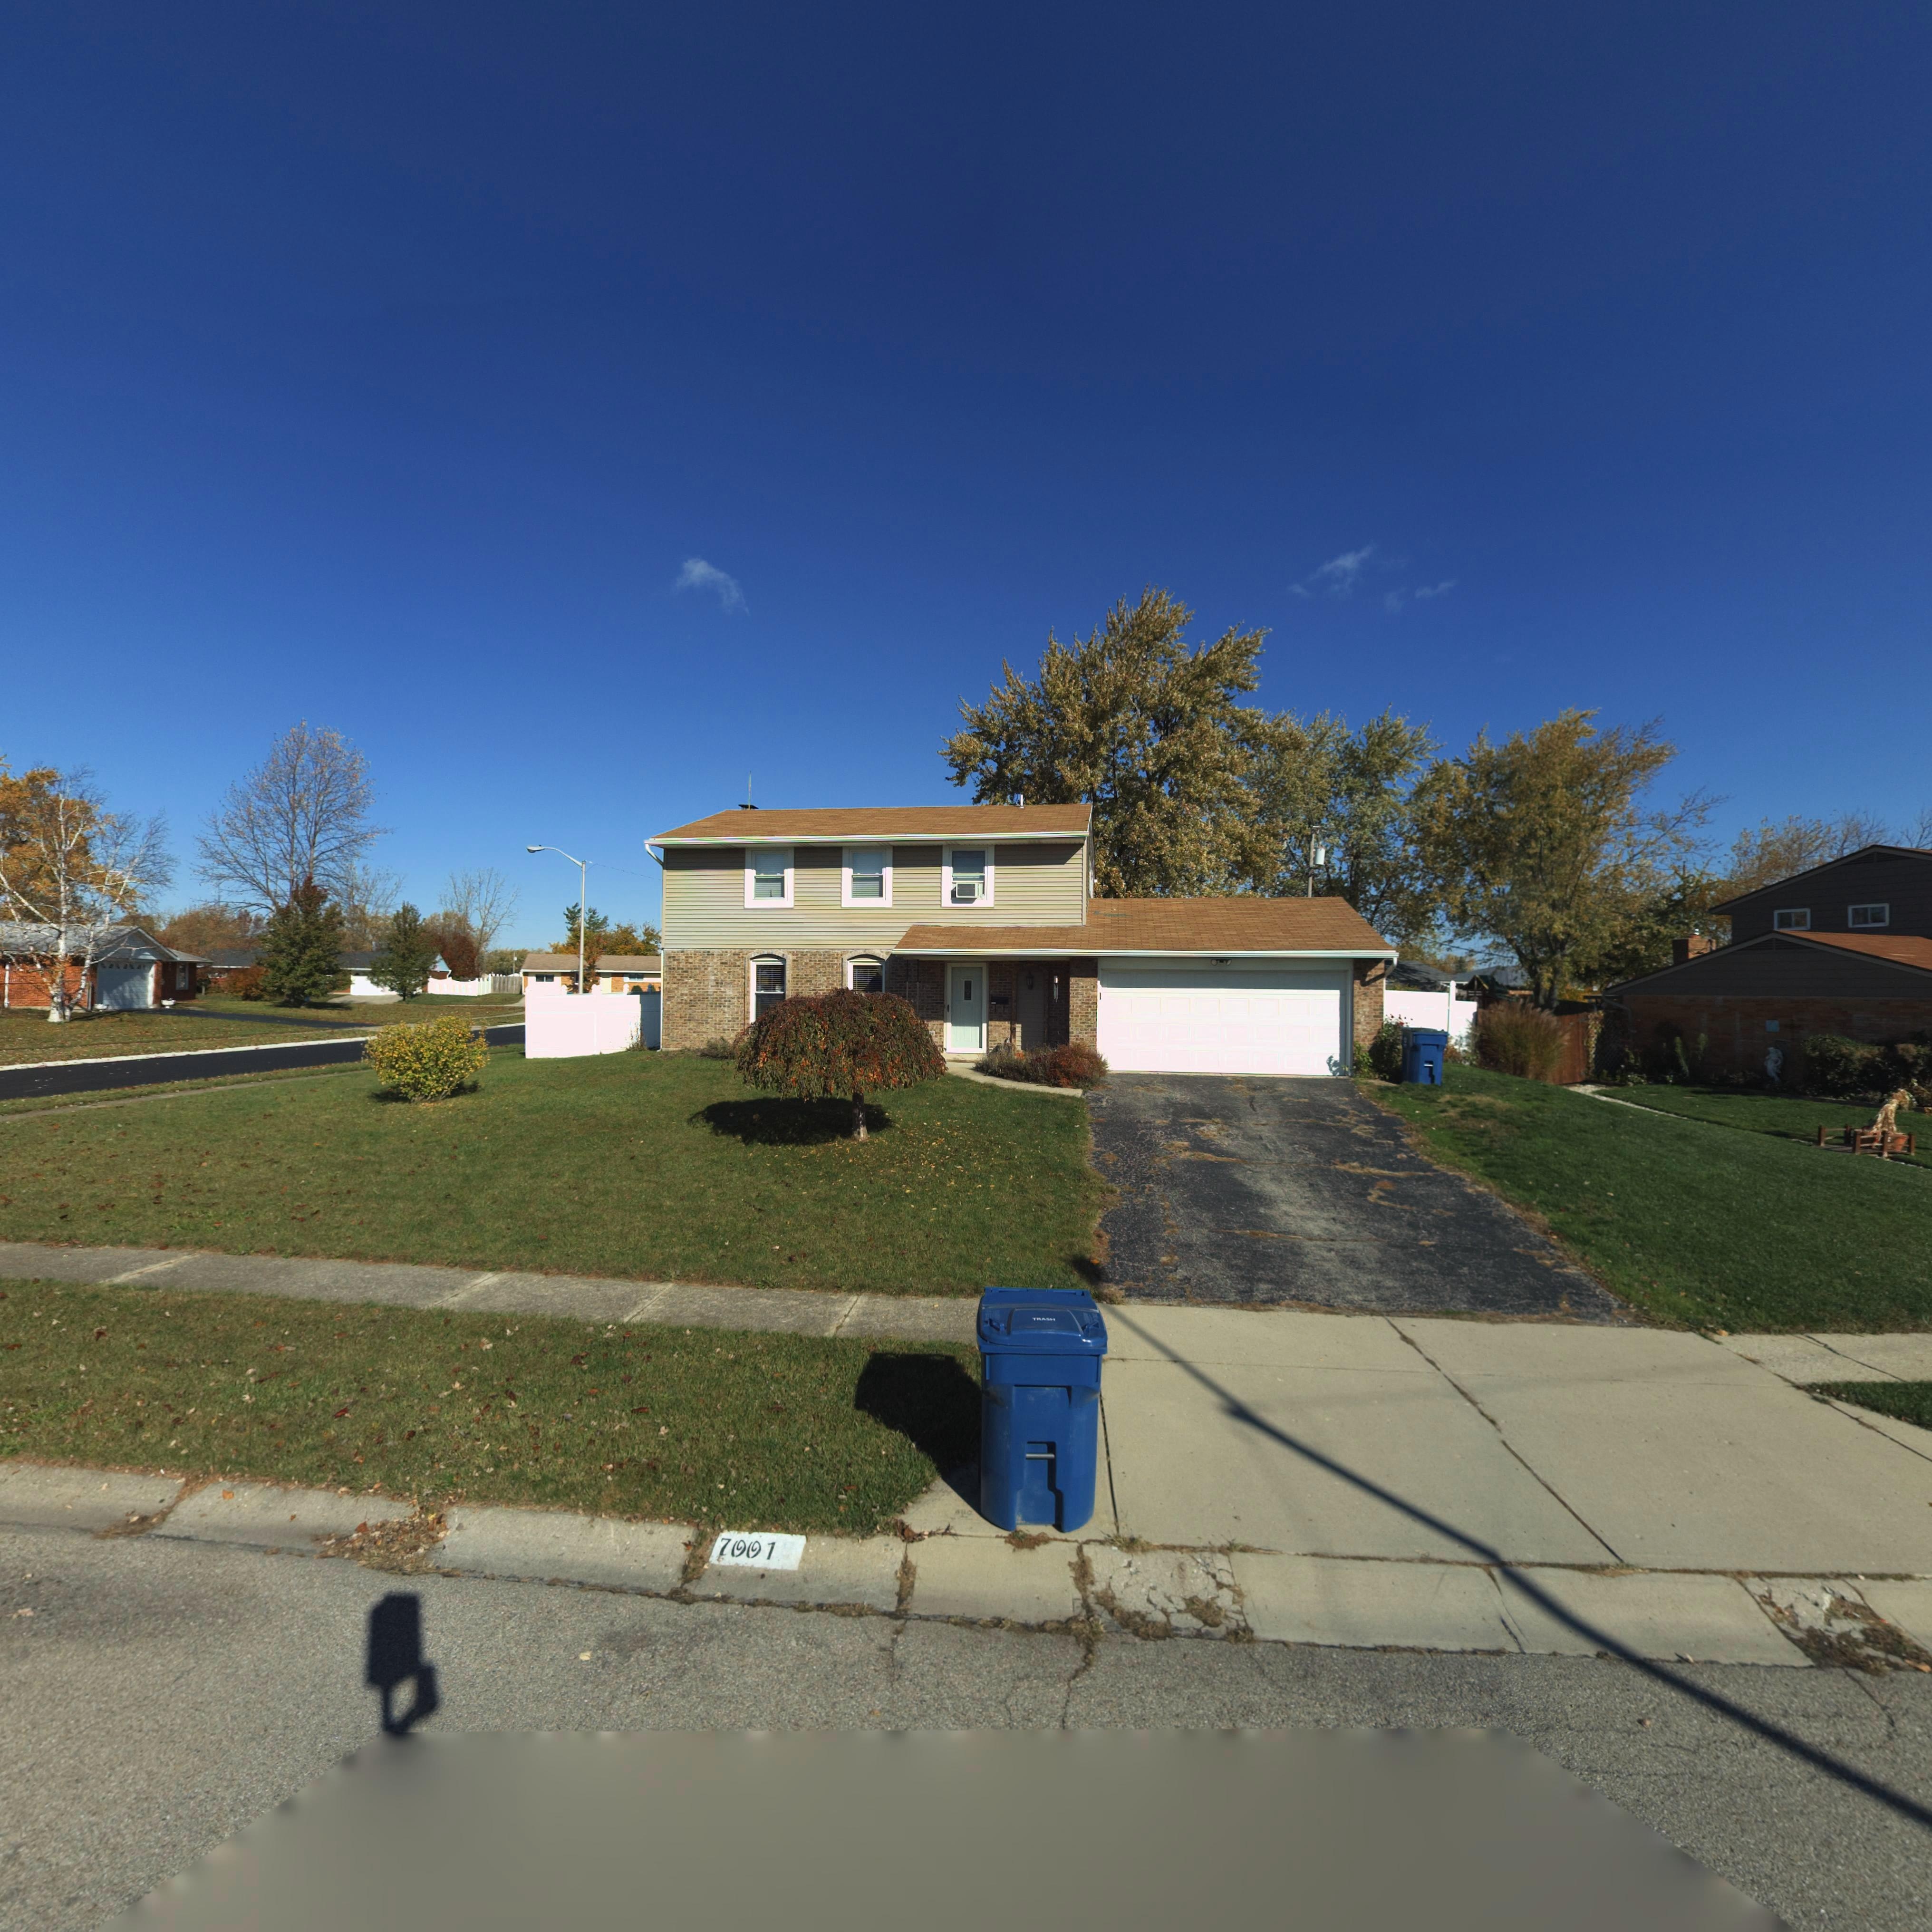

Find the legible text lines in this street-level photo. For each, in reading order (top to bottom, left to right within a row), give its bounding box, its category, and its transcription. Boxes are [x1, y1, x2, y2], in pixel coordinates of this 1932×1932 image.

[717, 1537, 777, 1561] StreetNumber: 7001